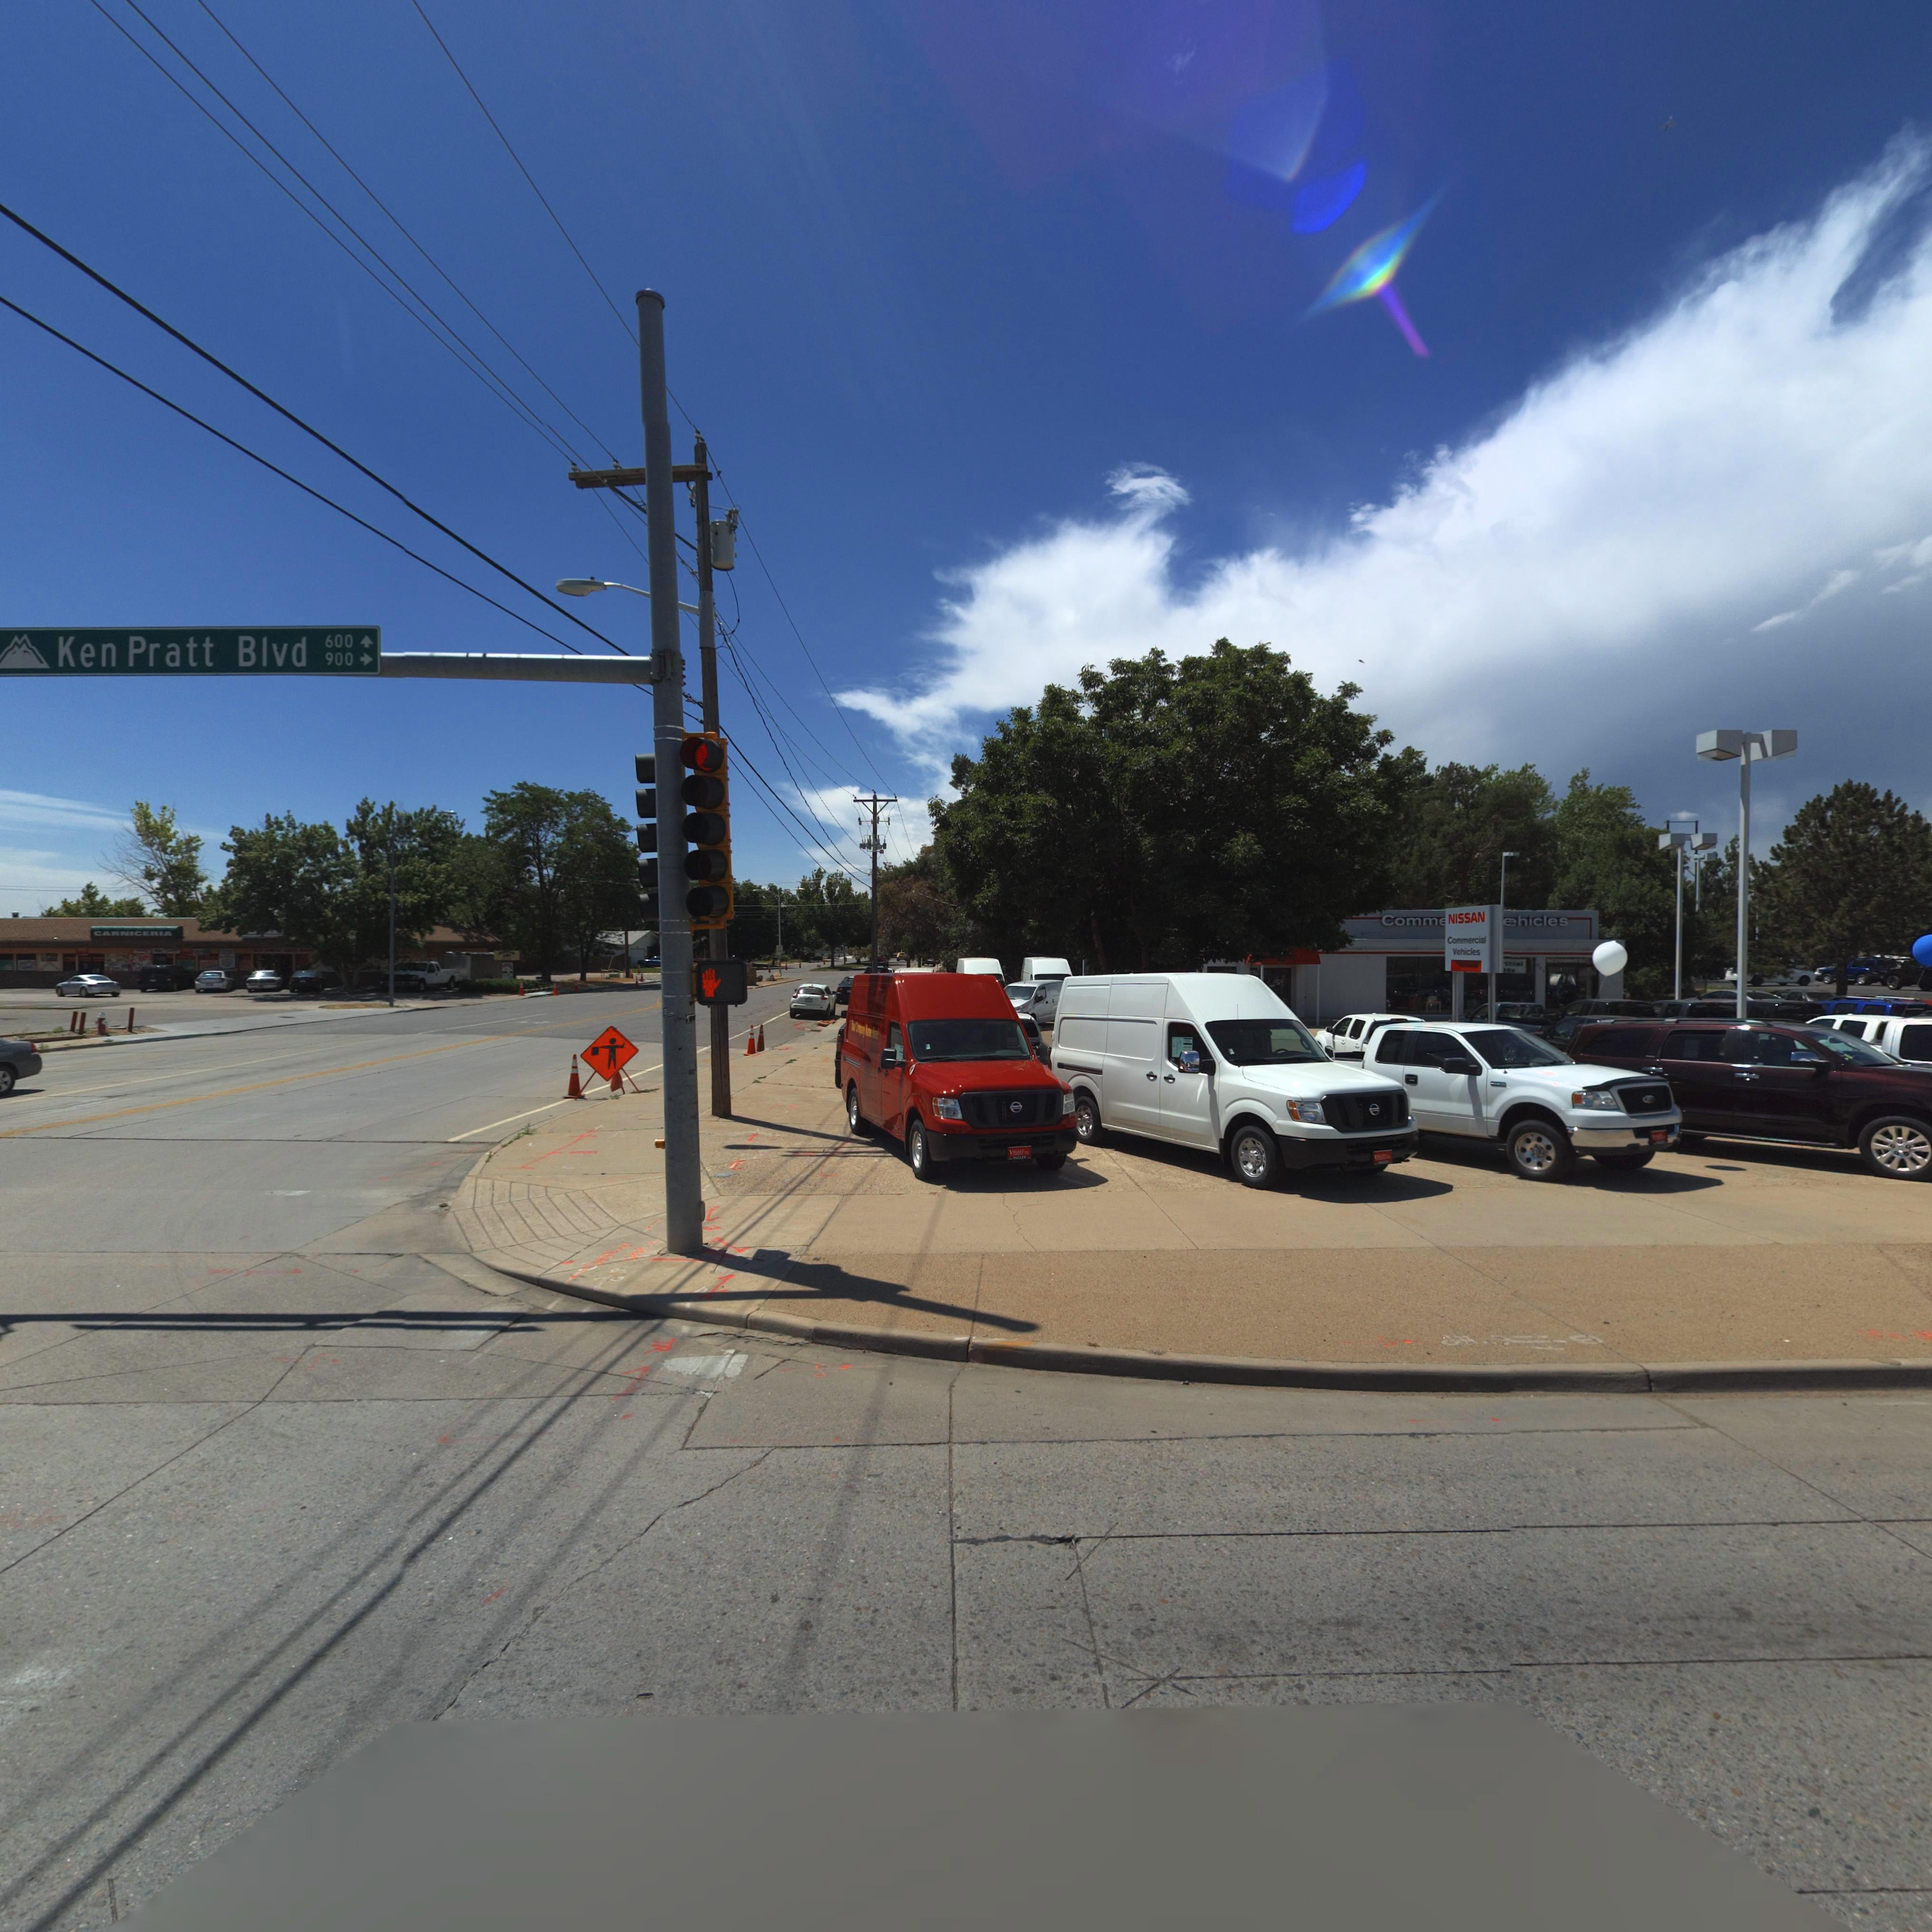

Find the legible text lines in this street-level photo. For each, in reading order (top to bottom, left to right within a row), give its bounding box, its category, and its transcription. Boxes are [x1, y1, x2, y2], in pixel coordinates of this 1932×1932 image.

[324, 634, 354, 648] StreetNumberRange: 600
[56, 634, 309, 668] StreetName: Ken Pratt Blvd
[325, 651, 374, 666] StreetNumberRange: 900->
[1448, 911, 1486, 924] BusinessName: NISSAN